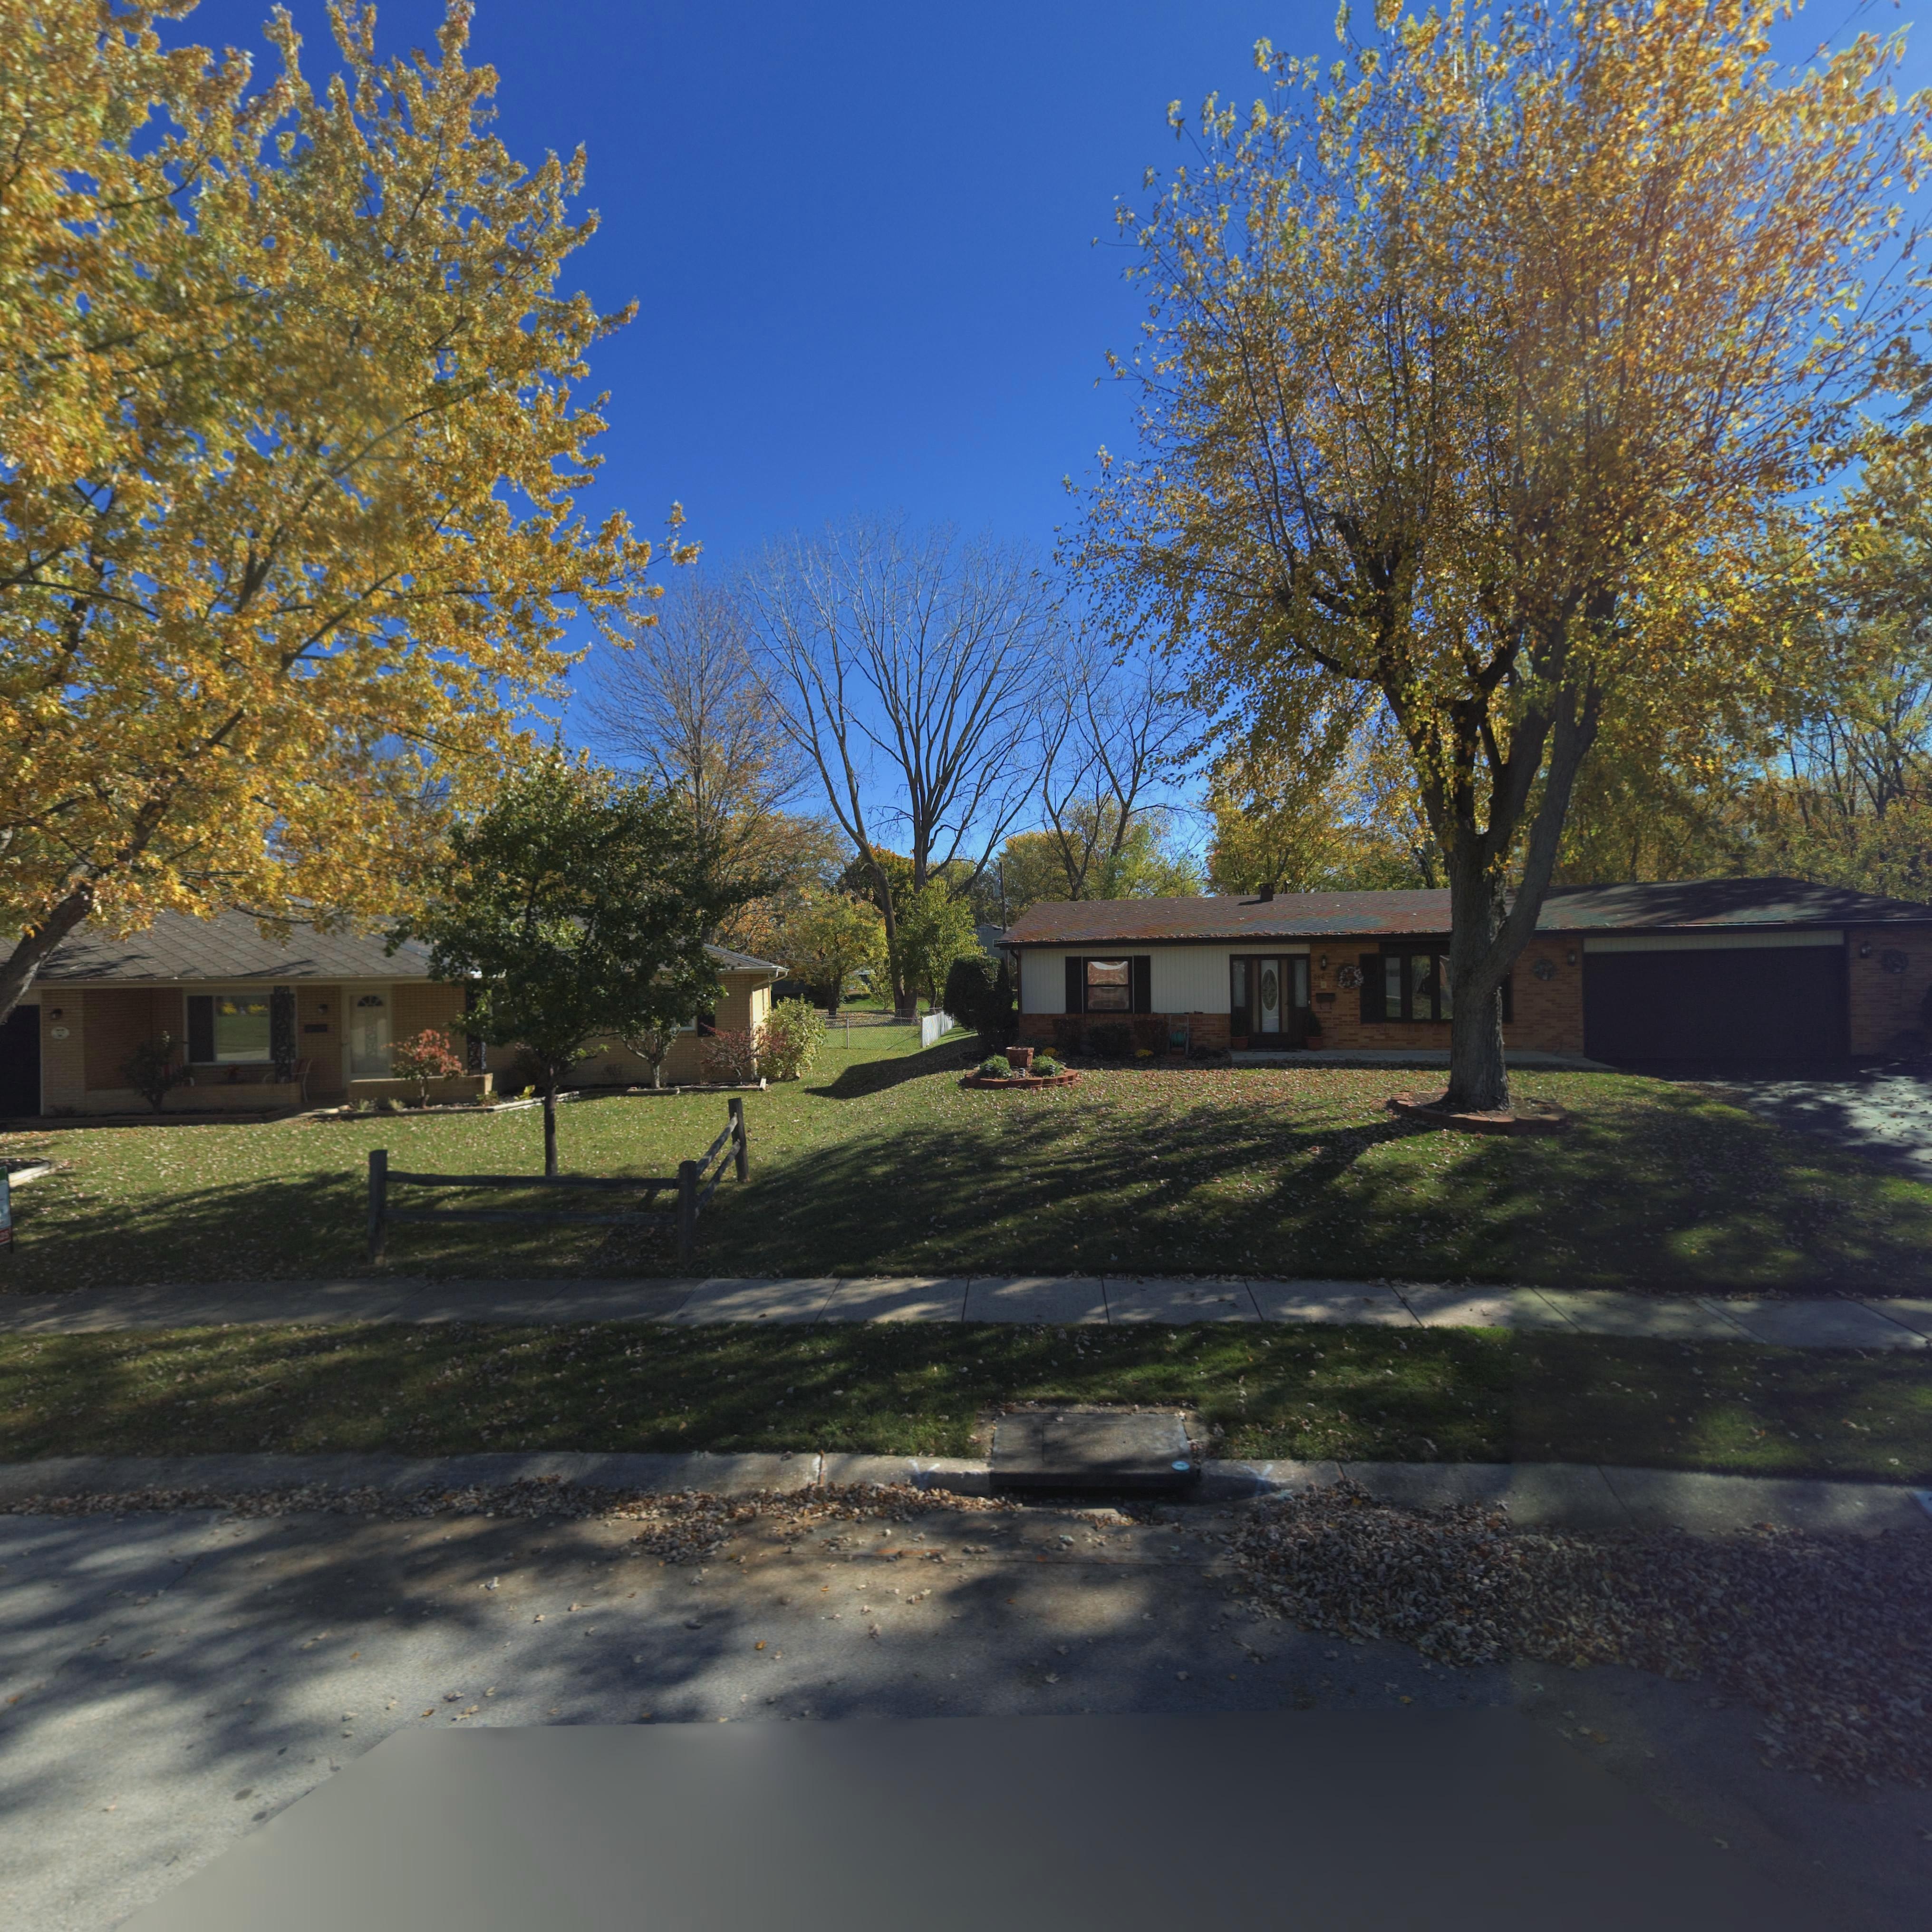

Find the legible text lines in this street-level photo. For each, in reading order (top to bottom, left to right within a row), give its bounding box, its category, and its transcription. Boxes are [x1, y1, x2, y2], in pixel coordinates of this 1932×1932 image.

[1313, 974, 1324, 979] StreetNumber: 212